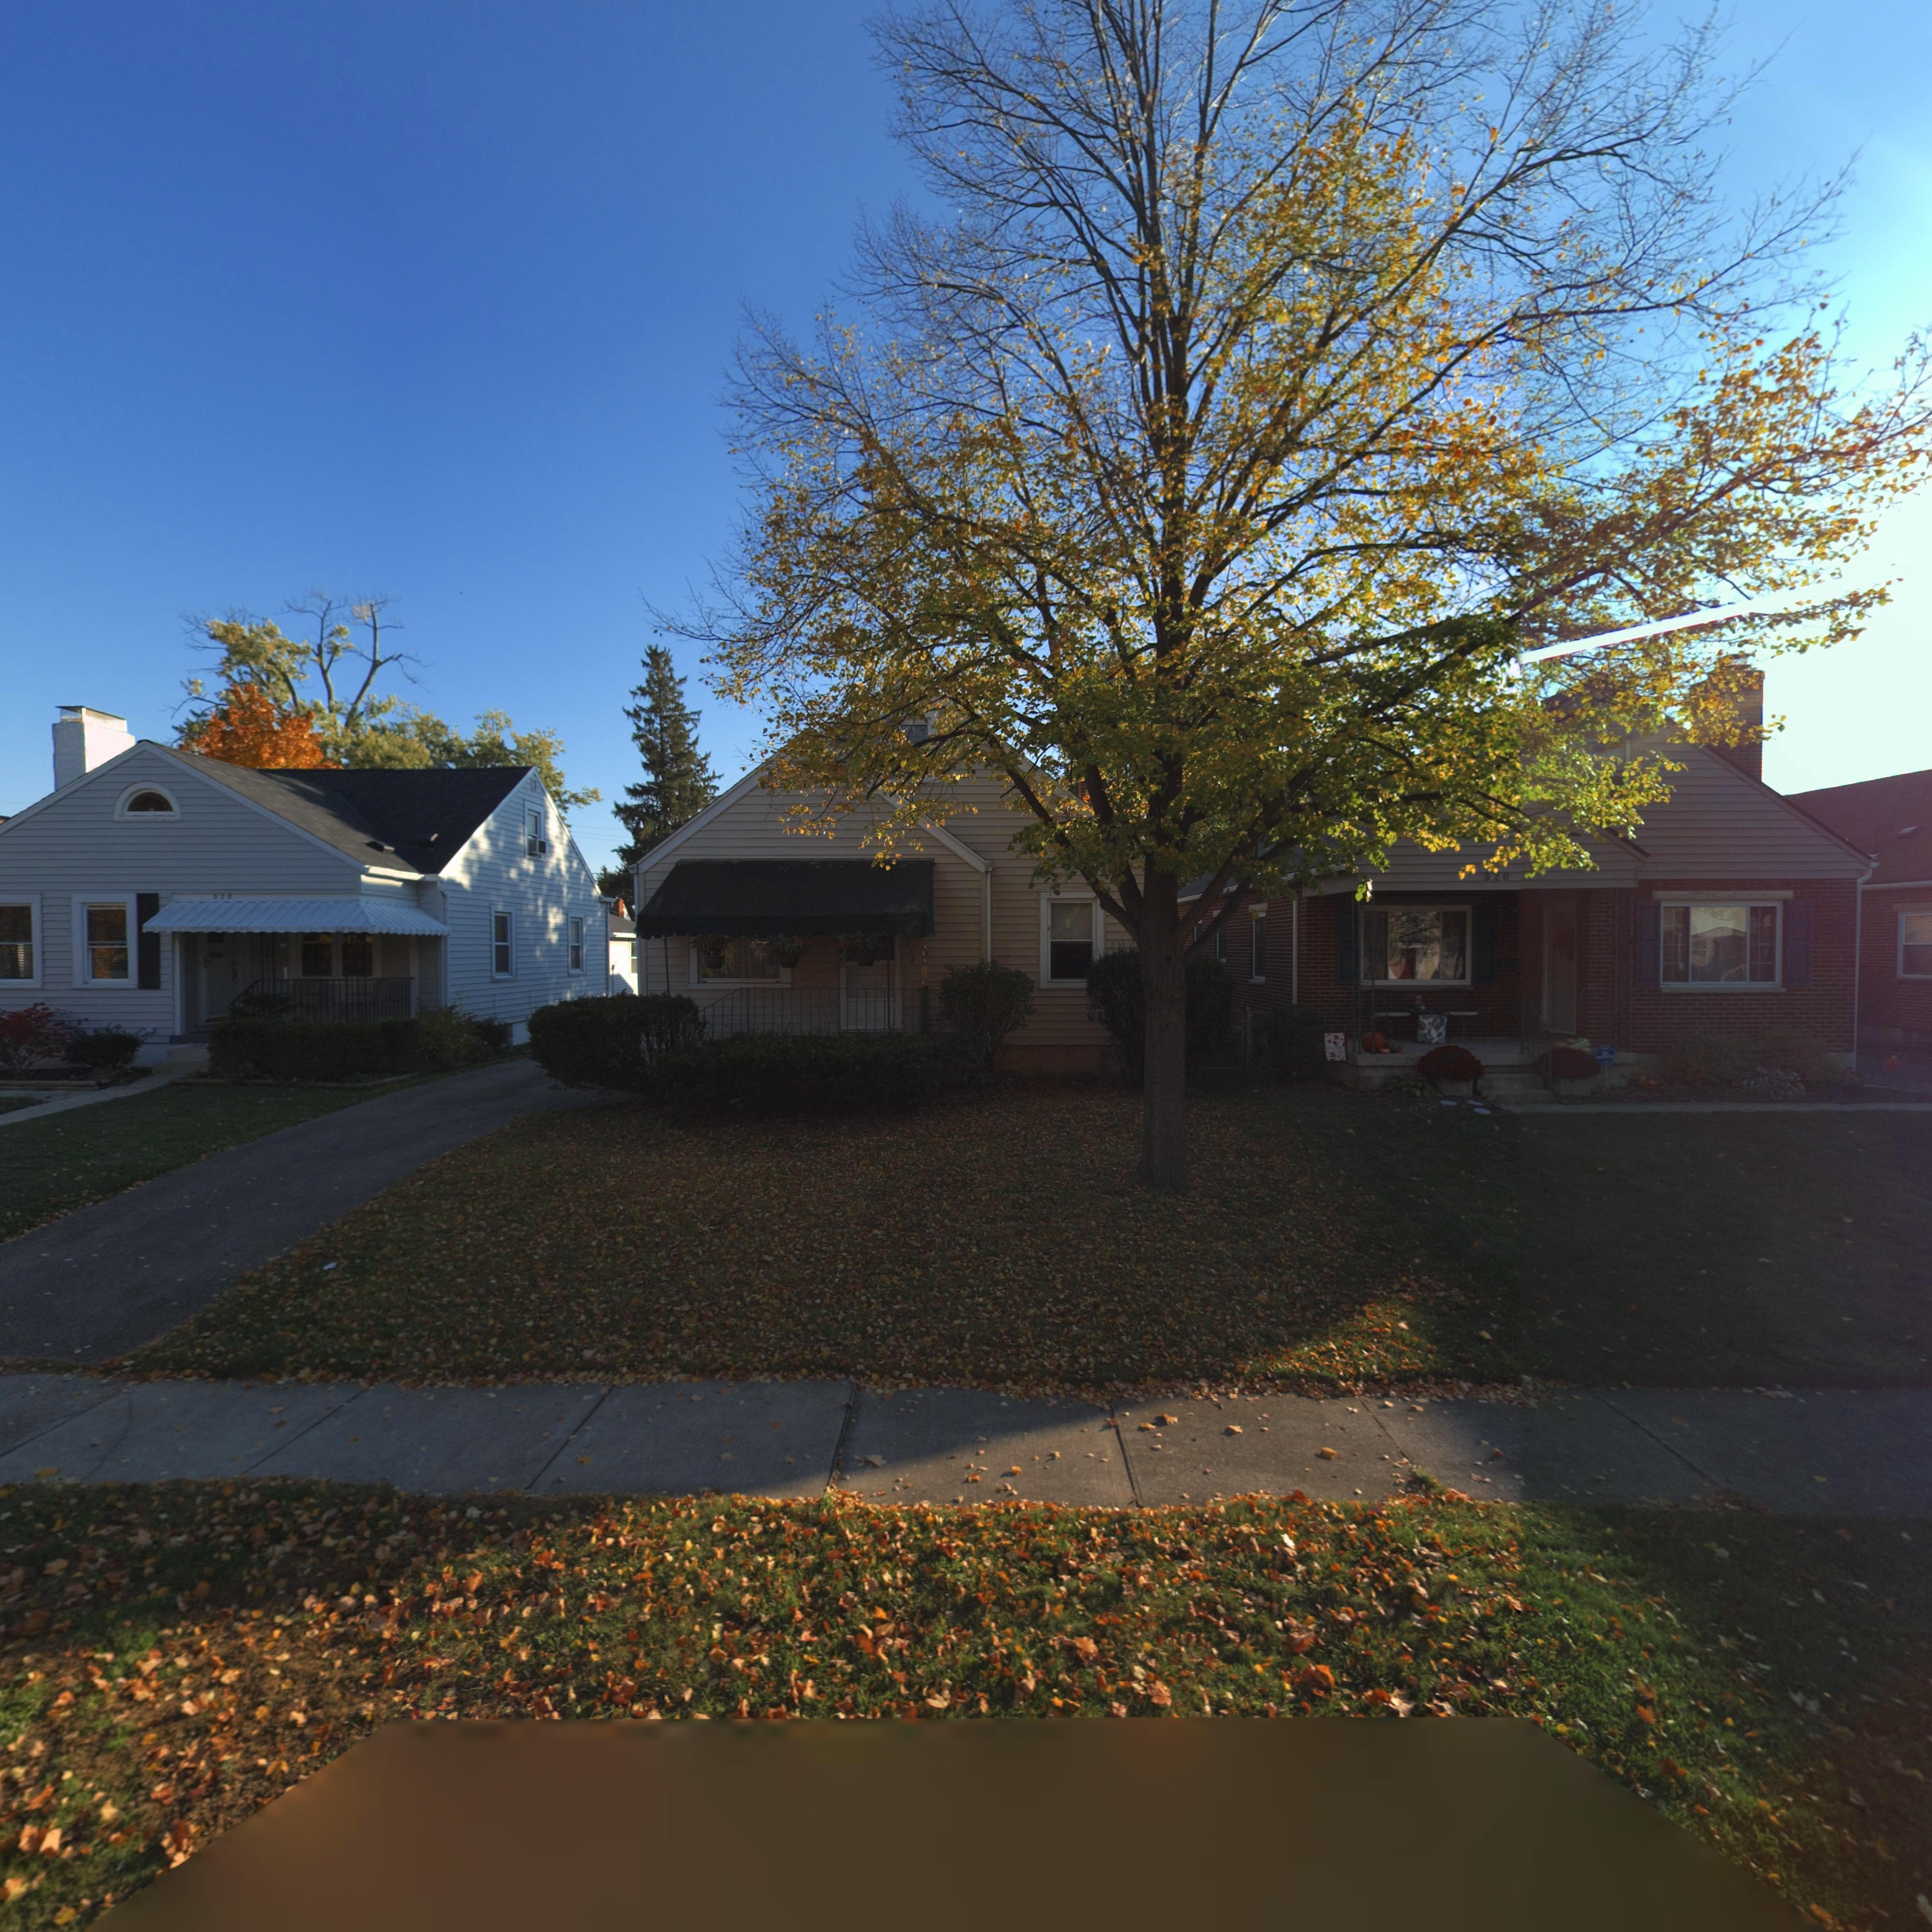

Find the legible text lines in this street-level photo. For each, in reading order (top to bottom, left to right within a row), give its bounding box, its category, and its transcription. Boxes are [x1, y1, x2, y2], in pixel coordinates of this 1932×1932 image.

[1482, 871, 1510, 882] StreetNumber: 320
[212, 891, 232, 900] StreetNumber: 328